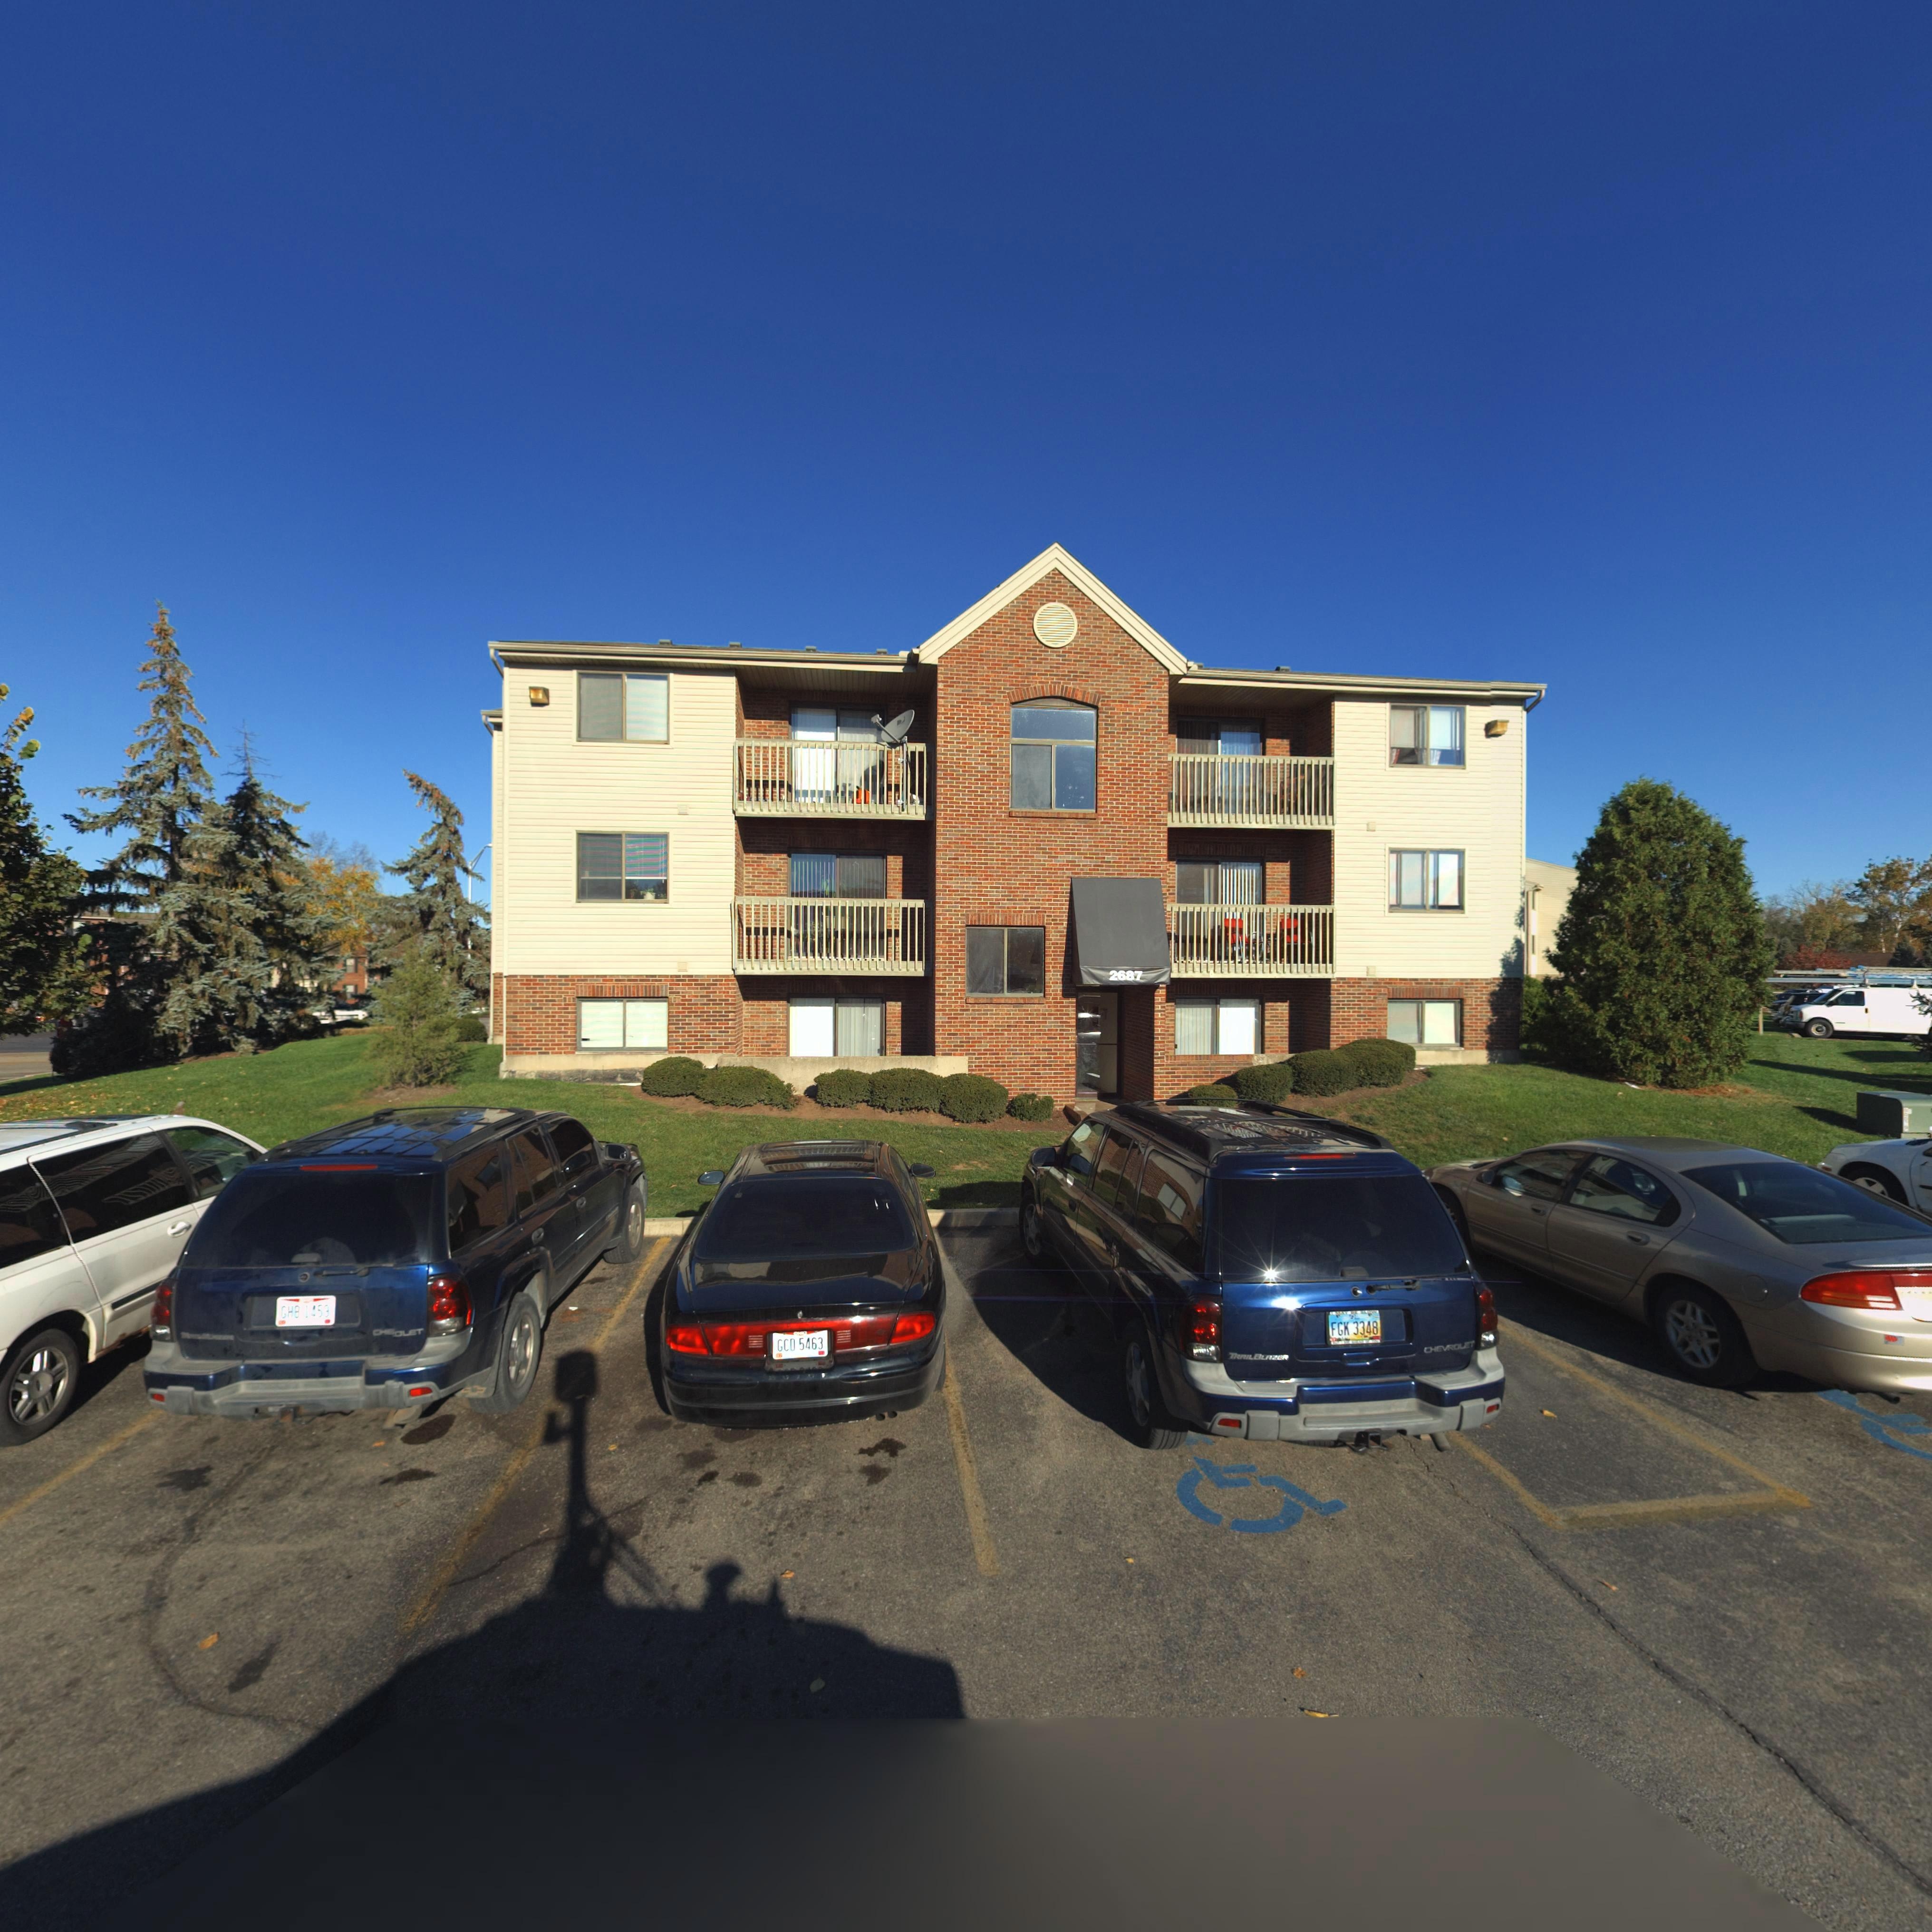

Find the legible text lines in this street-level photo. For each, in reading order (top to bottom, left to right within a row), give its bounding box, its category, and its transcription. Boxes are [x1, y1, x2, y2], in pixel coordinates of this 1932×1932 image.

[1108, 969, 1144, 982] StreetNumber: 2687